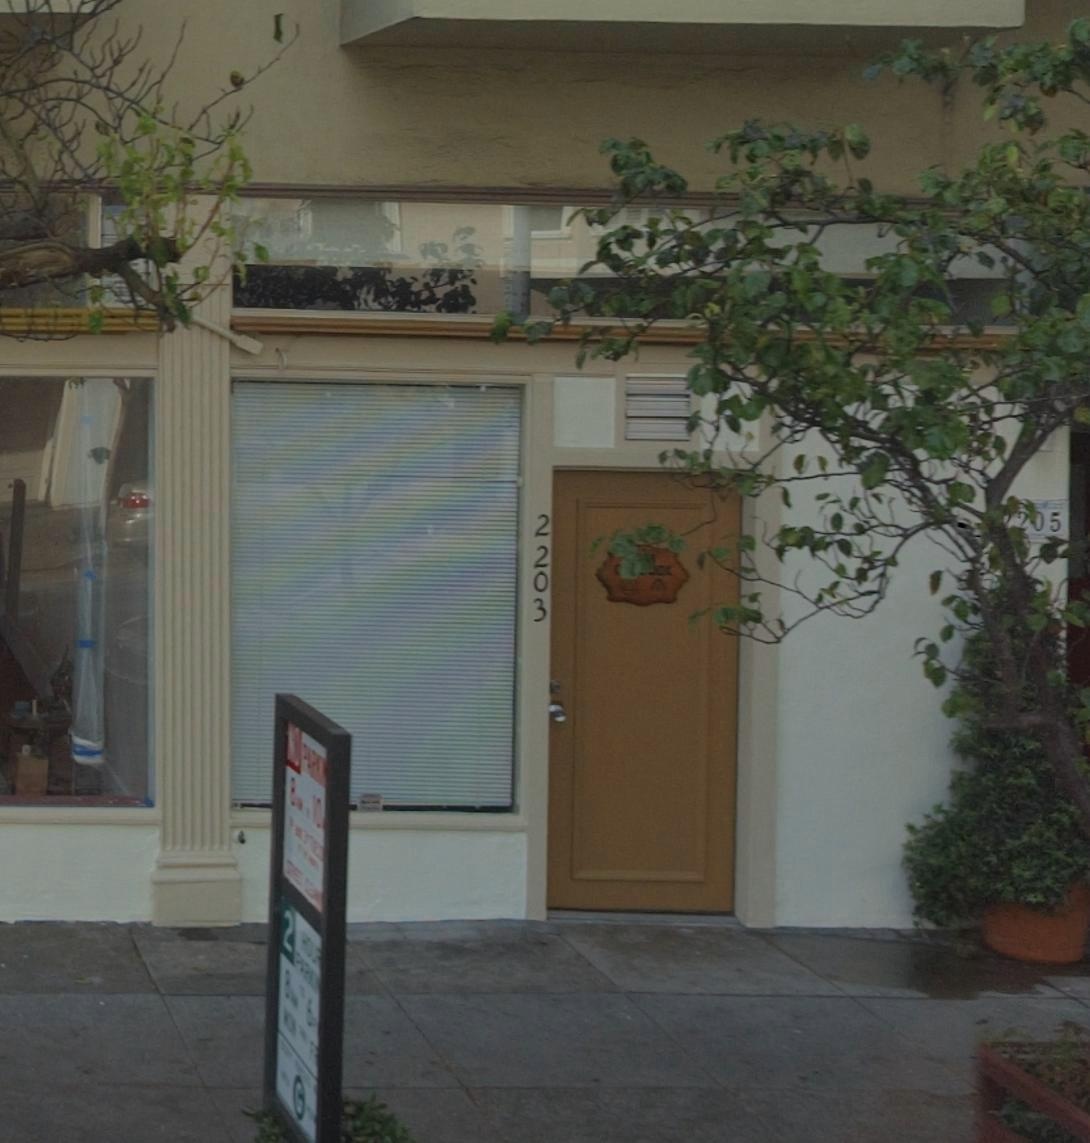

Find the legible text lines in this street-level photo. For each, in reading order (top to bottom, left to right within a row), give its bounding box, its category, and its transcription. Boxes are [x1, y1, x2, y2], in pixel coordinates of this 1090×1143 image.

[1029, 509, 1063, 534] StreetNumber: 05
[530, 510, 553, 625] StreetNumber: 2203
[279, 906, 296, 961] None: 2
[292, 1079, 308, 1119] None: G